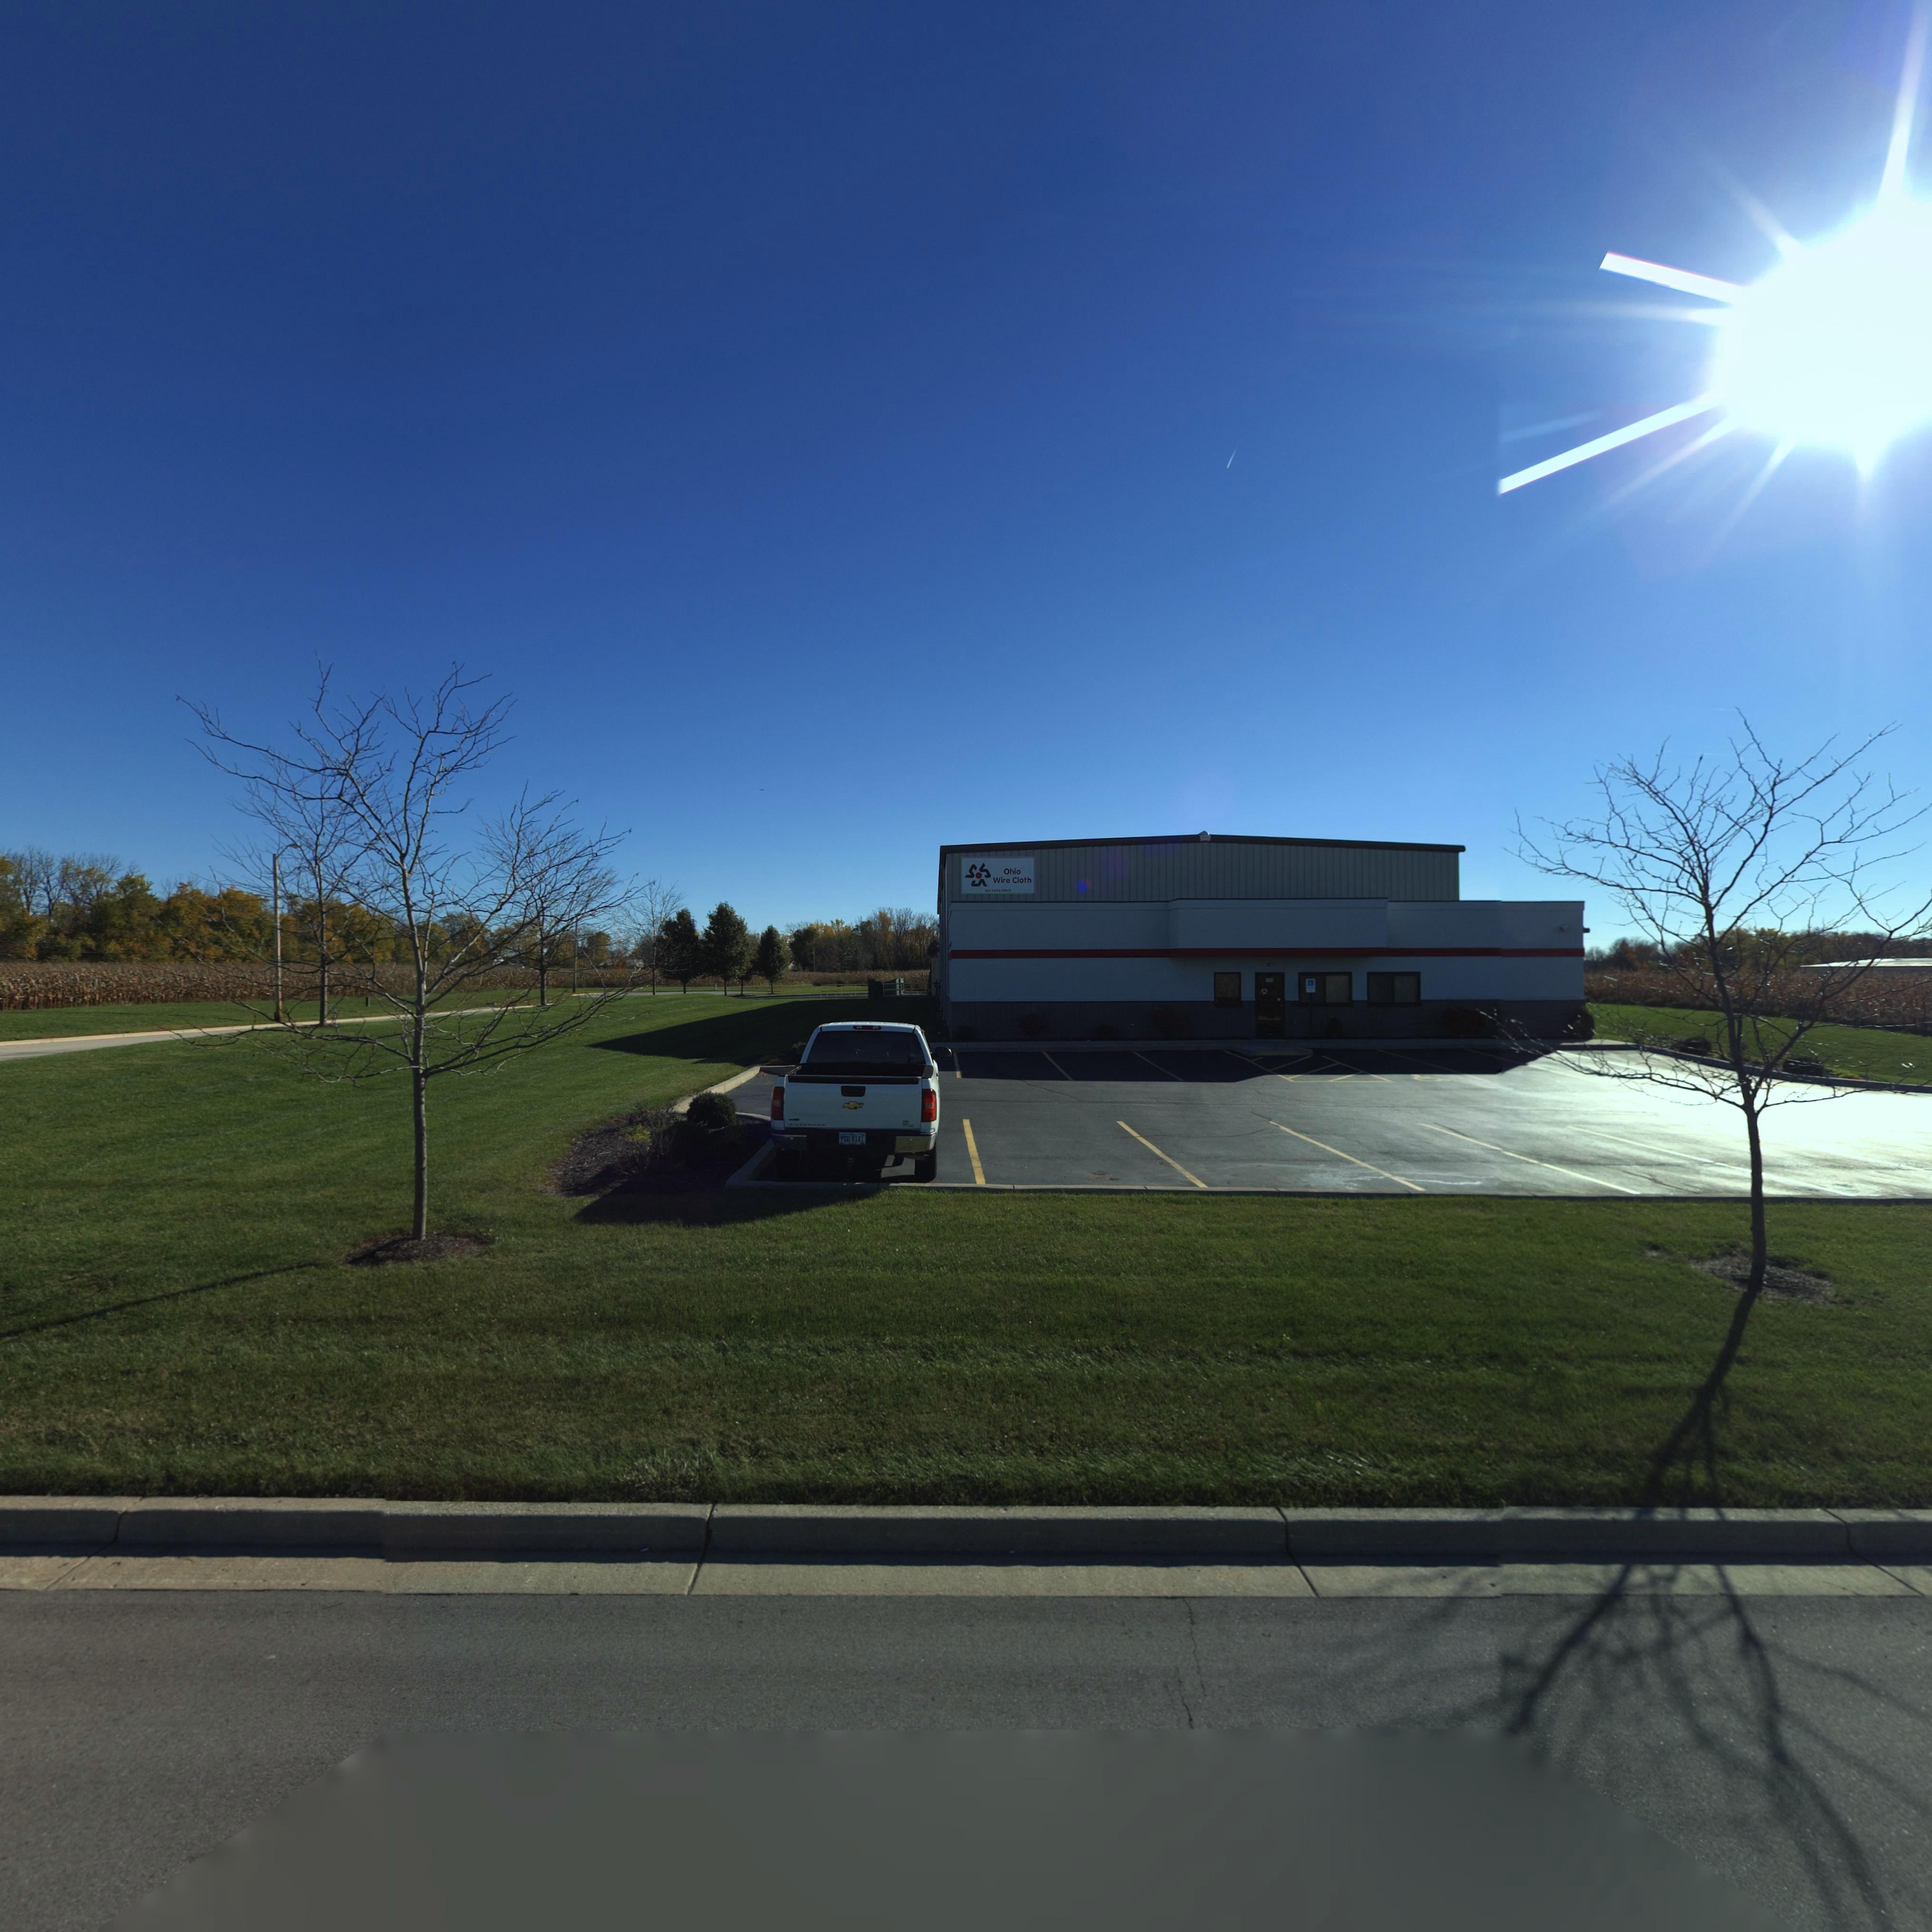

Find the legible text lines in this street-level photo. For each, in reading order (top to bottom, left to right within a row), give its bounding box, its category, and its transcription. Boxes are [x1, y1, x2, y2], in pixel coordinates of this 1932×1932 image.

[1266, 977, 1273, 982] StreetNumber: 201